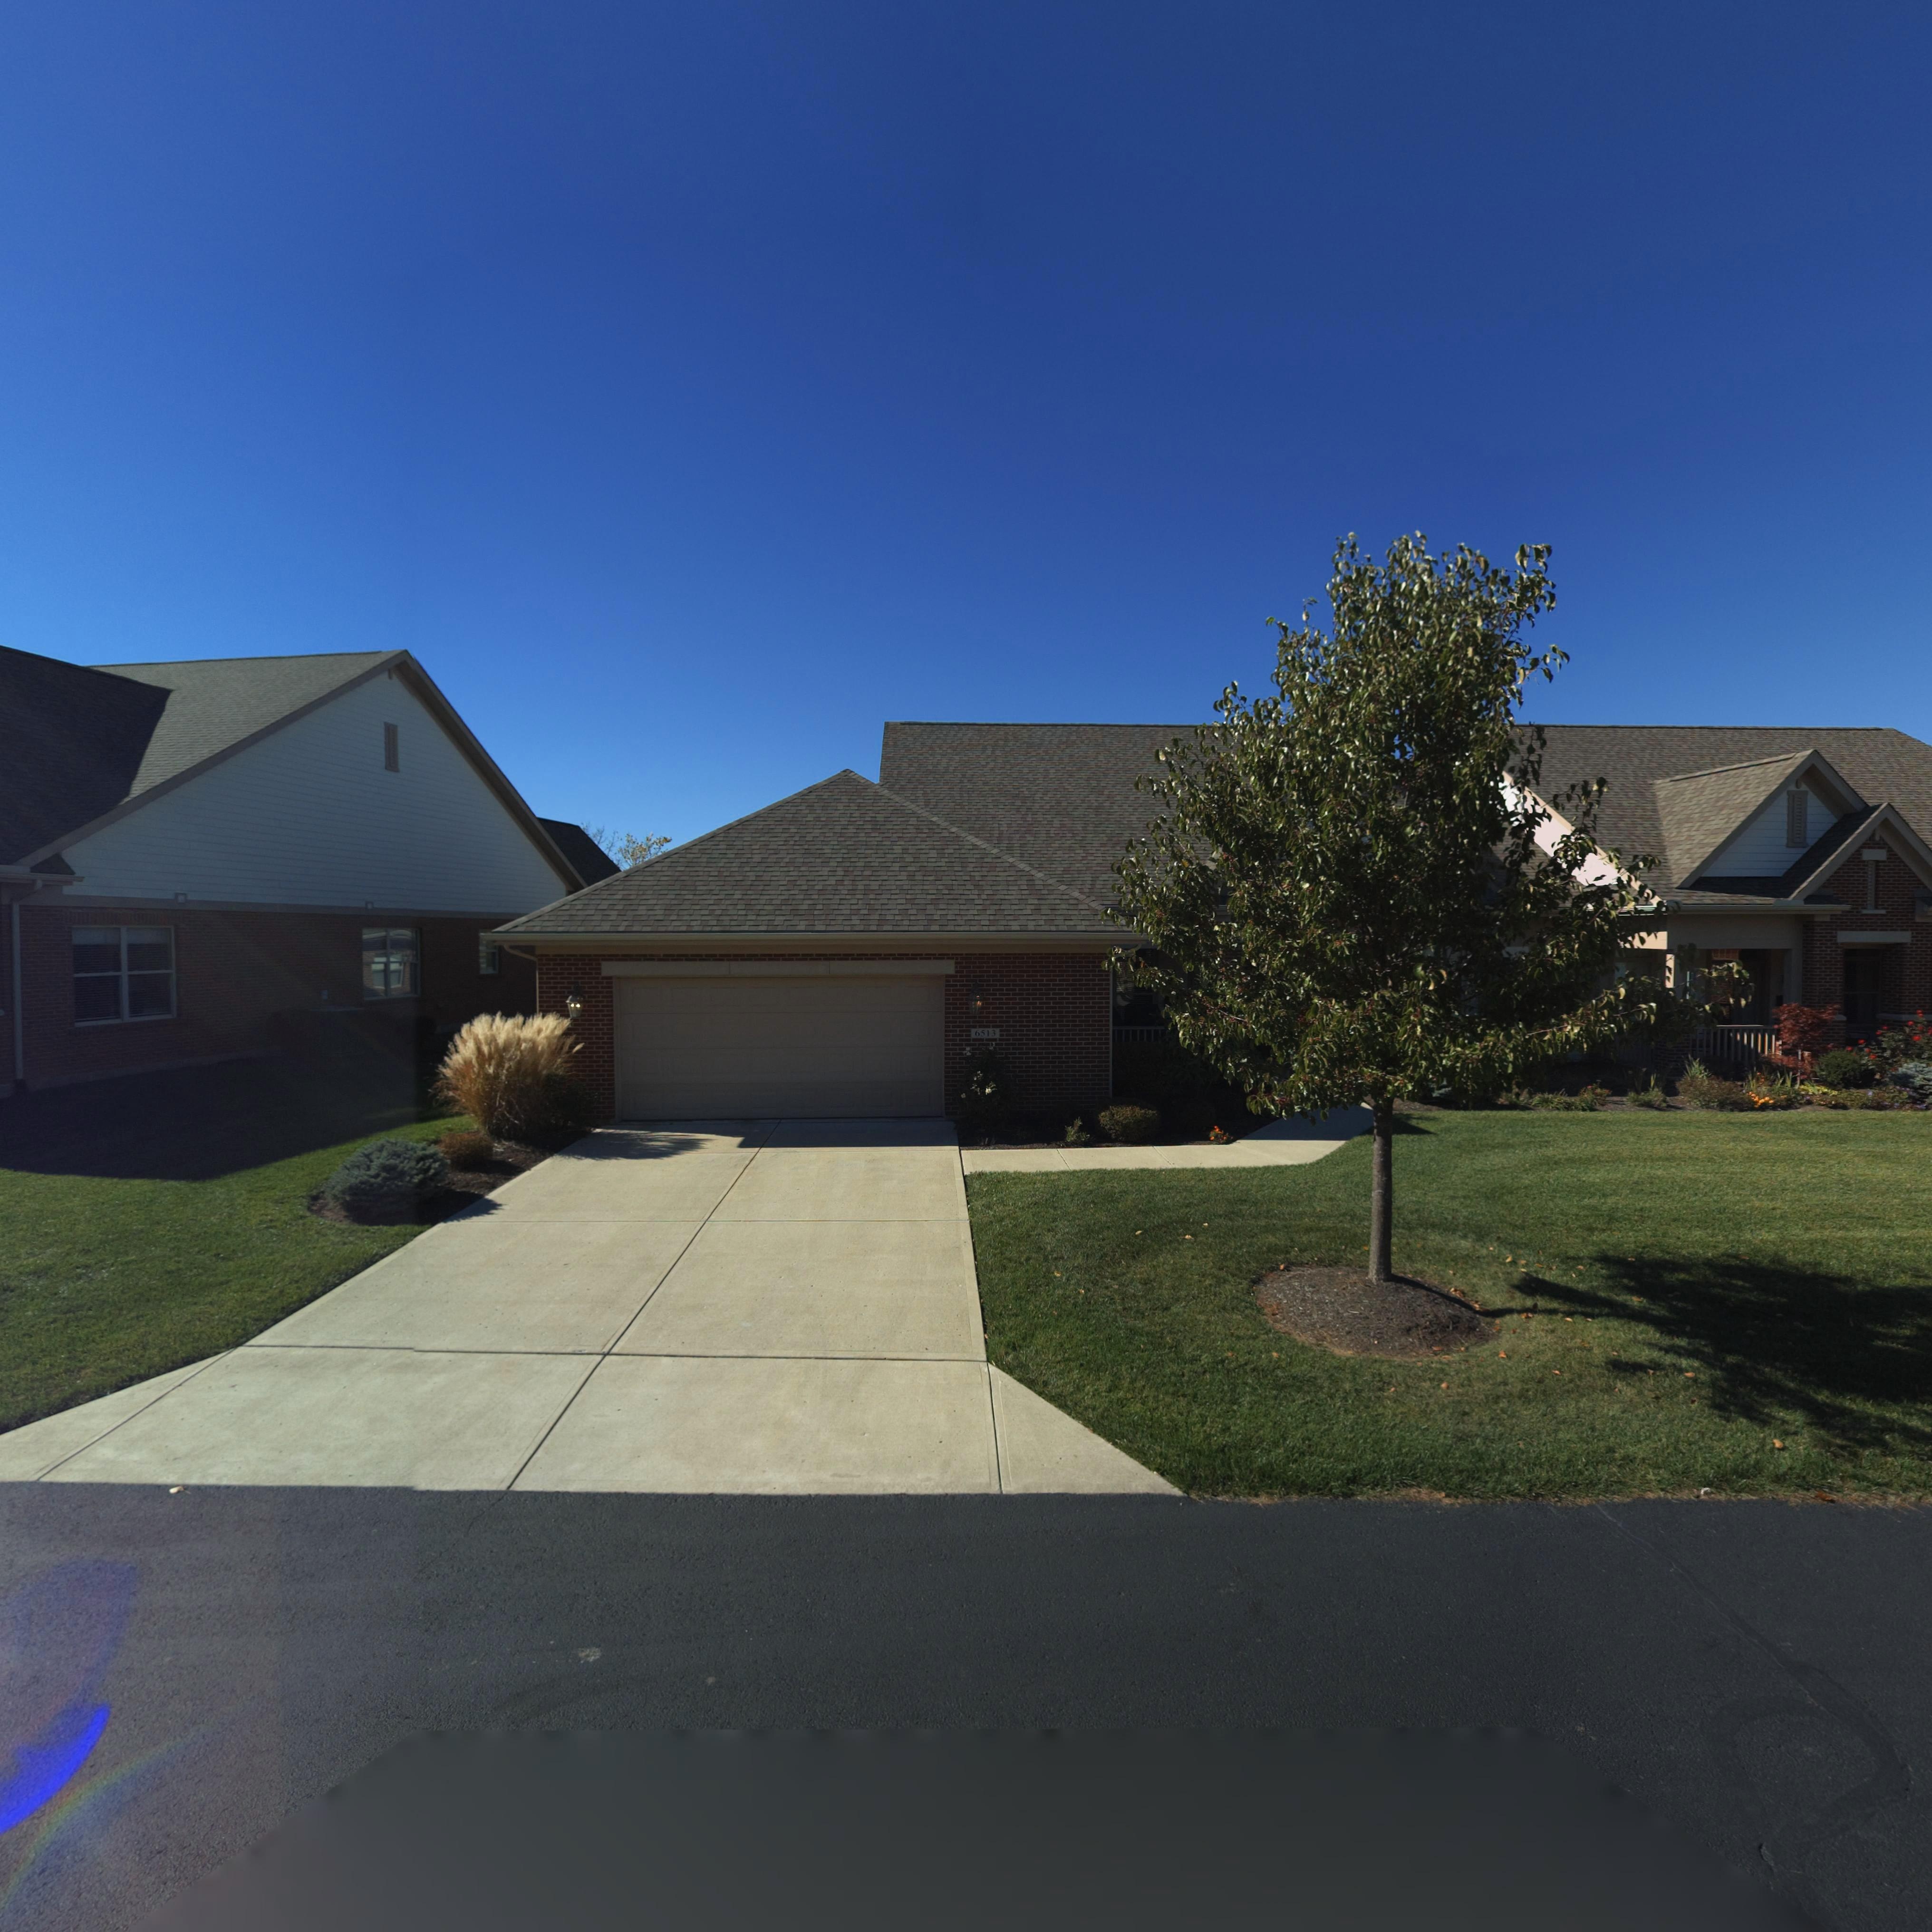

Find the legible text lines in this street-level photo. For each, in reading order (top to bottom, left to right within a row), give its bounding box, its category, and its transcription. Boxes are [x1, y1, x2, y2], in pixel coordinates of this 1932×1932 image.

[974, 1029, 996, 1037] StreetNumber: 6513